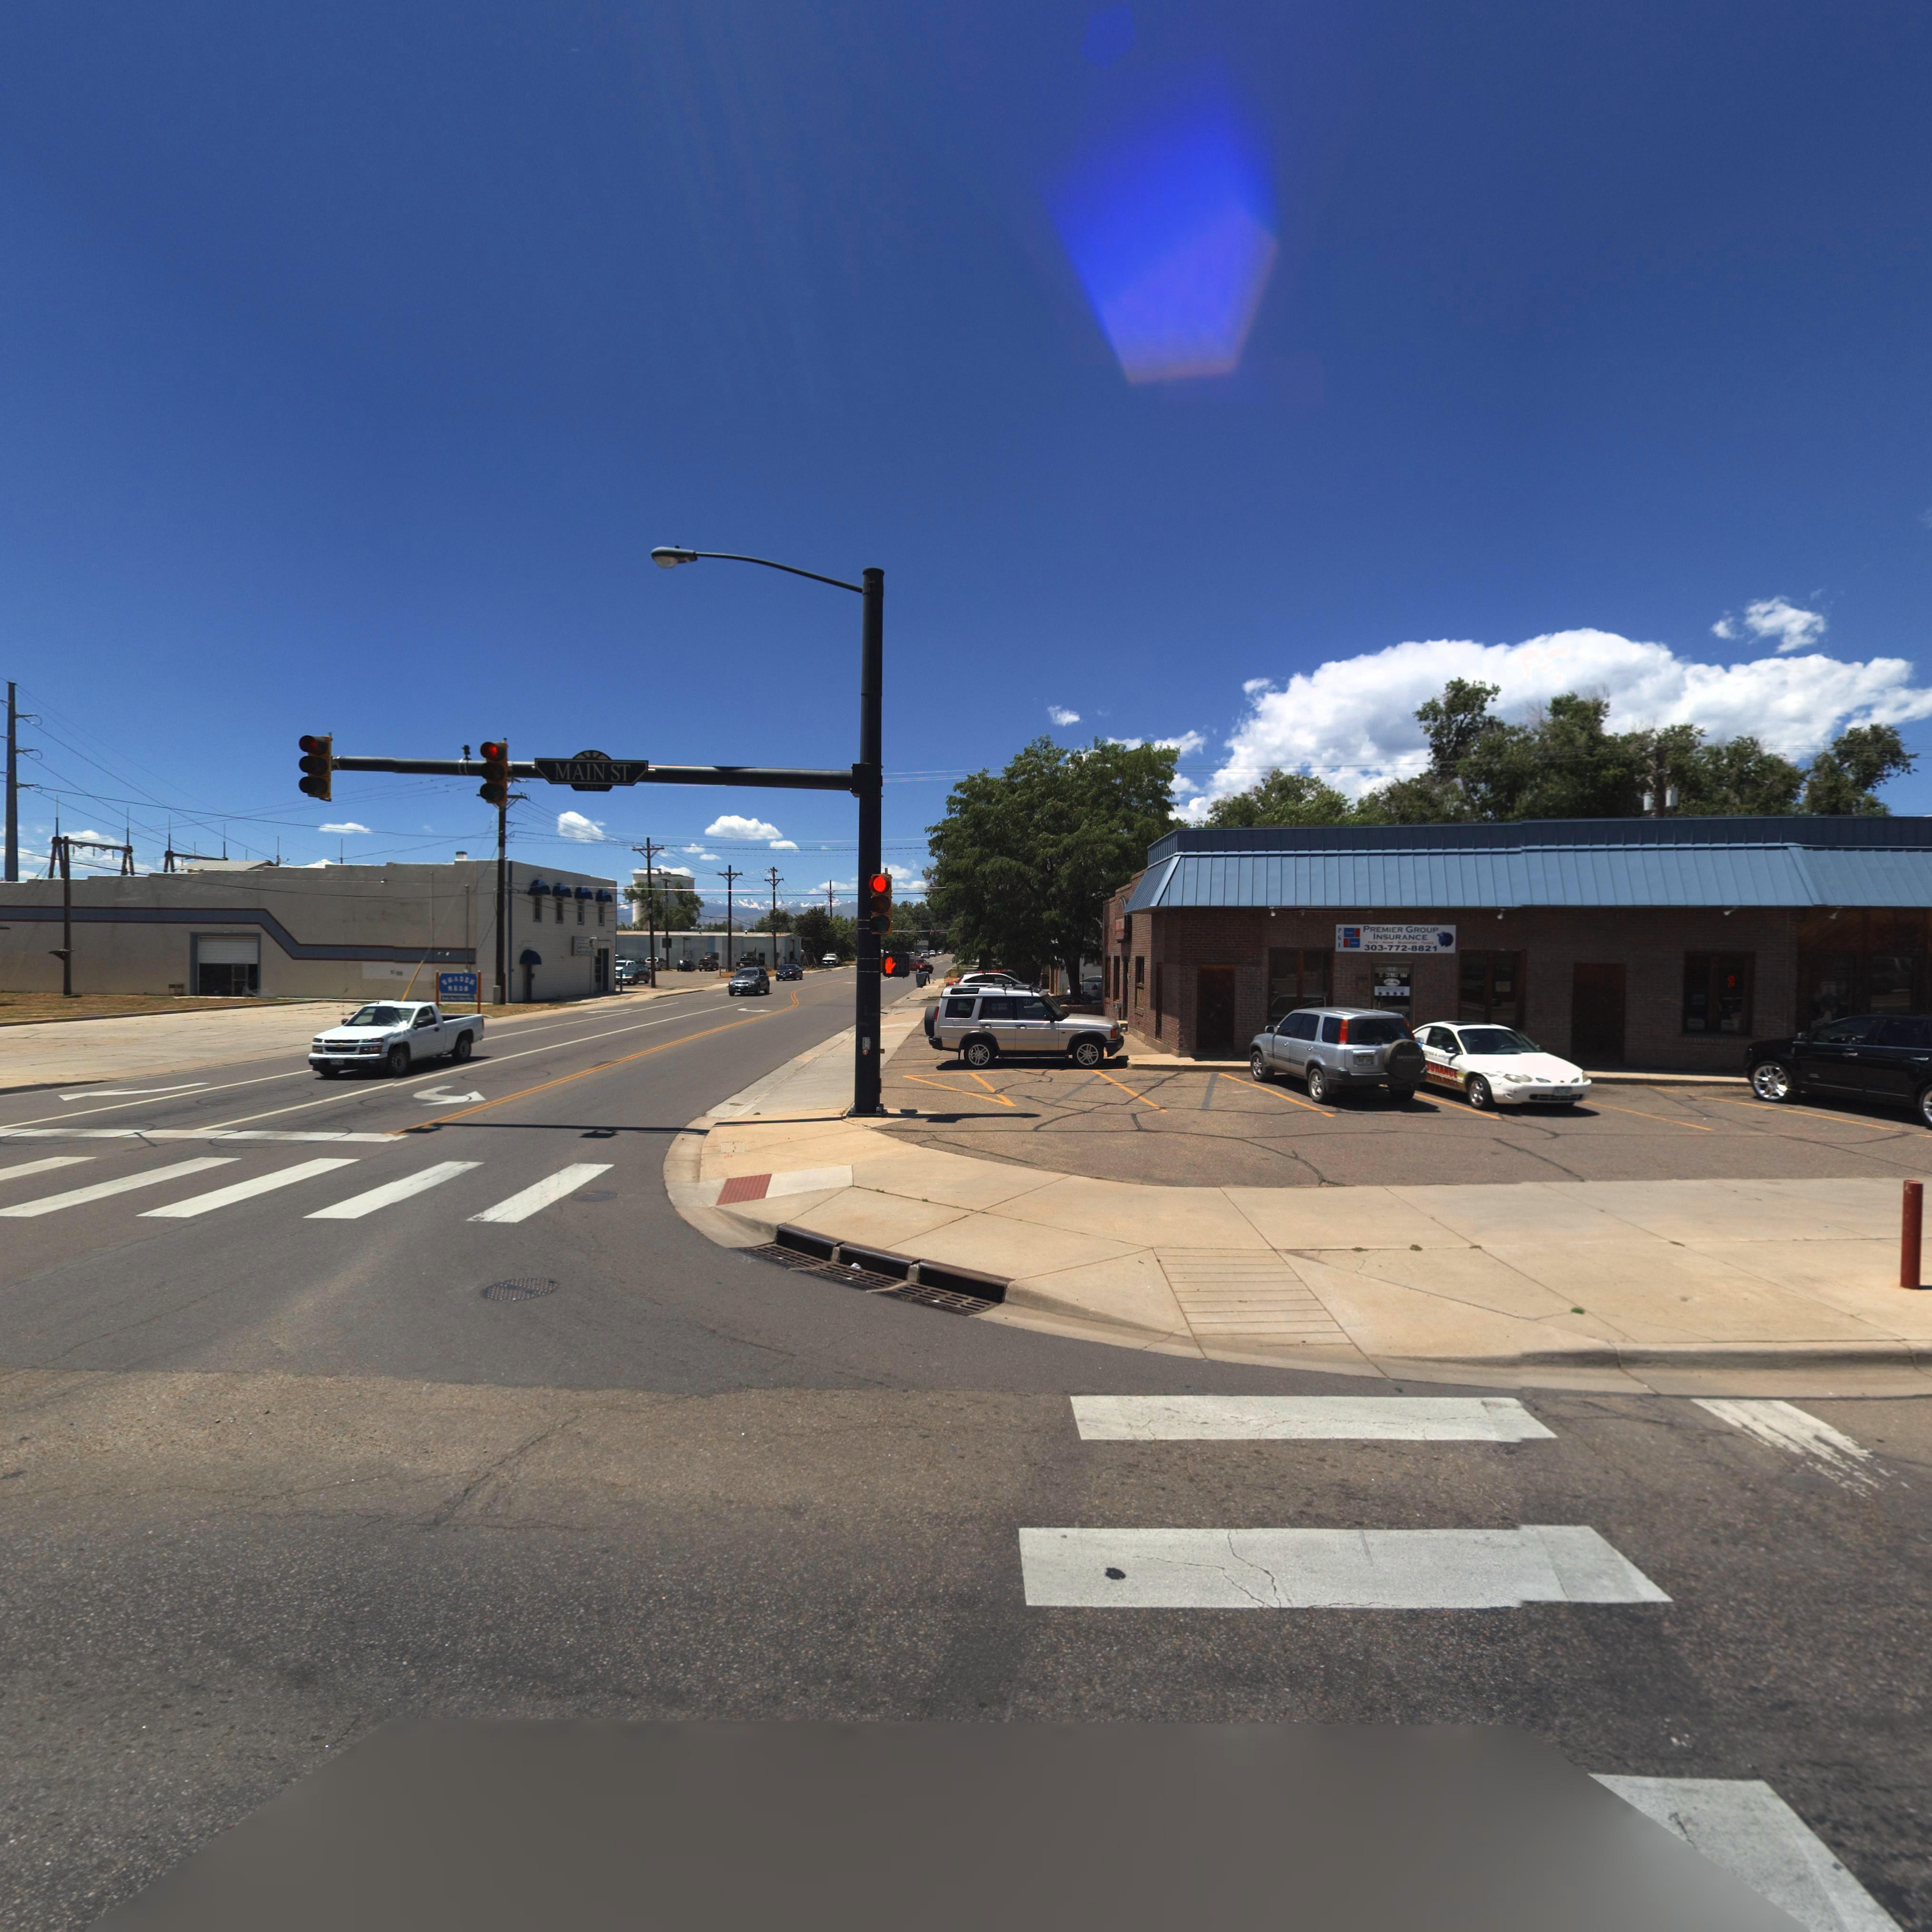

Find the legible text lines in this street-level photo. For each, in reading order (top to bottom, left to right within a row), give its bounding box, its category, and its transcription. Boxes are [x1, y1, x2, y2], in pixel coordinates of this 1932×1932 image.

[555, 763, 629, 781] StreetName: MAIN ST
[1362, 925, 1439, 933] BusinessName: PREMIER GROUP
[1373, 933, 1427, 939] BusinessName: INSURANCE
[1387, 966, 1397, 972] StreetNumber: 203
[441, 976, 475, 985] BusinessName: TRADER
[447, 985, 469, 992] BusinessName: NEDS